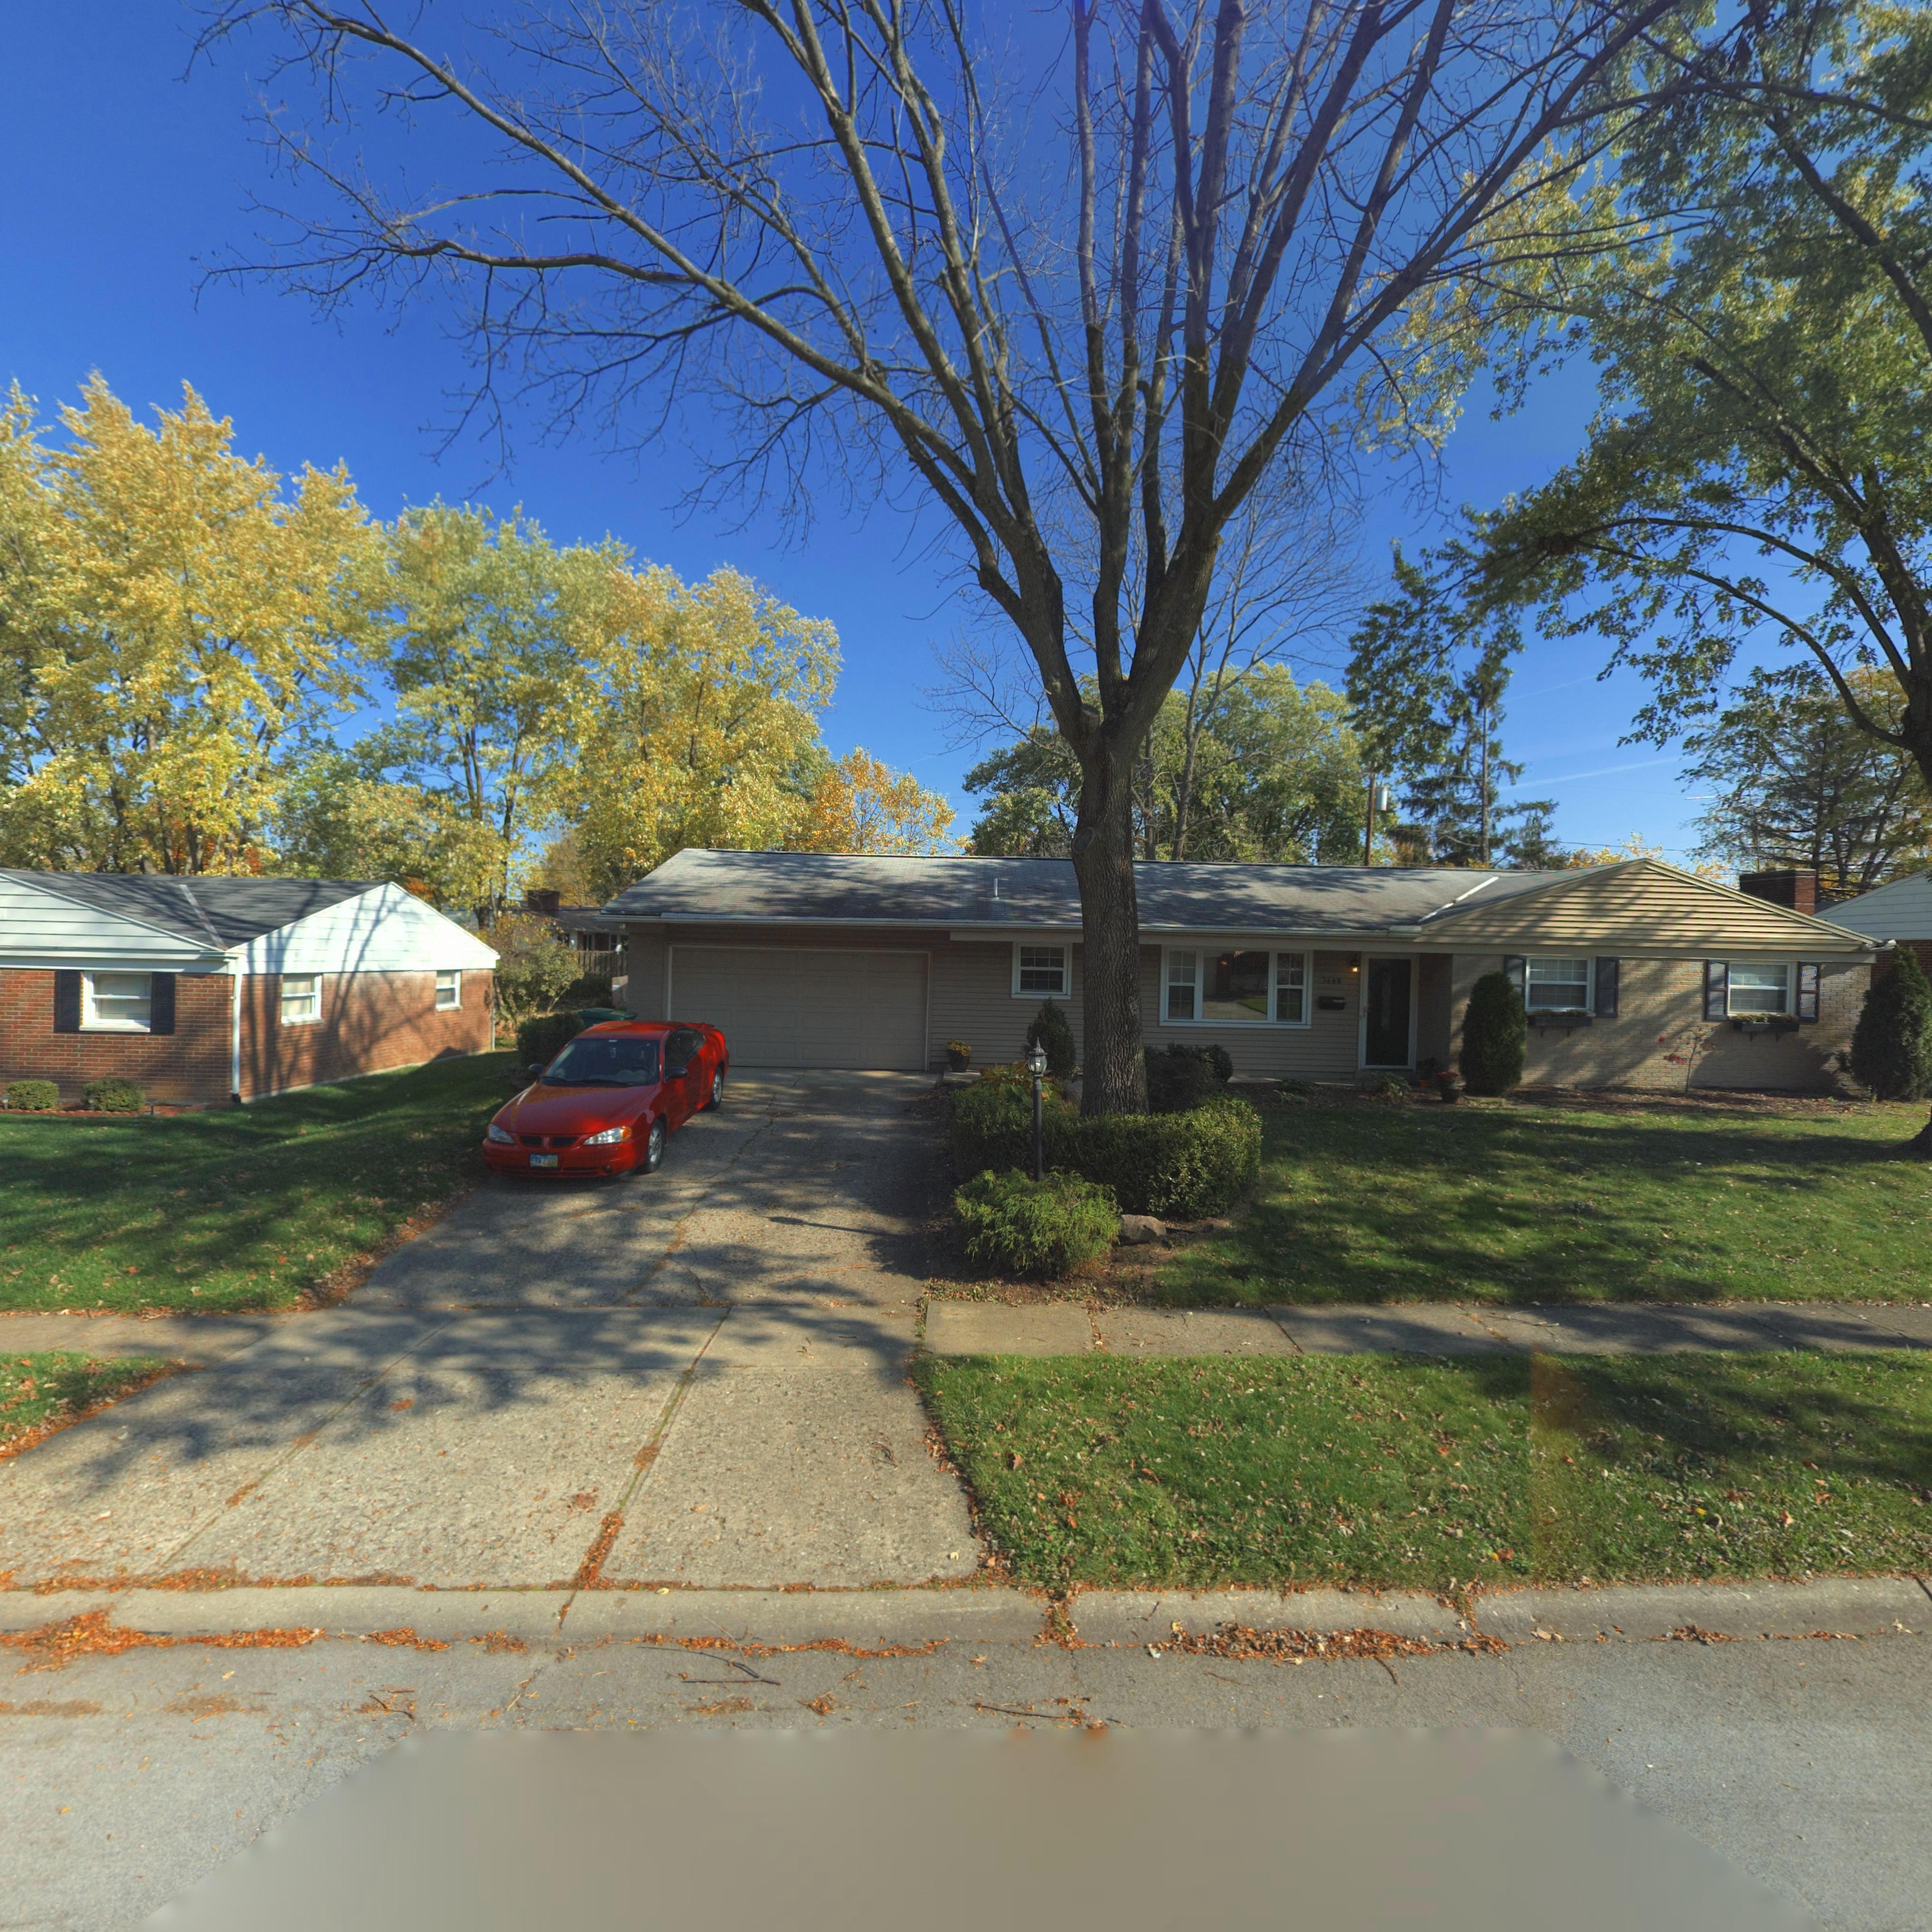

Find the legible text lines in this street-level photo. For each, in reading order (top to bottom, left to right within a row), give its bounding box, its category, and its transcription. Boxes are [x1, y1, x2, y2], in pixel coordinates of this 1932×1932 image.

[1321, 976, 1343, 985] StreetNumber: 3668
[530, 1155, 558, 1167] None: *** 2300